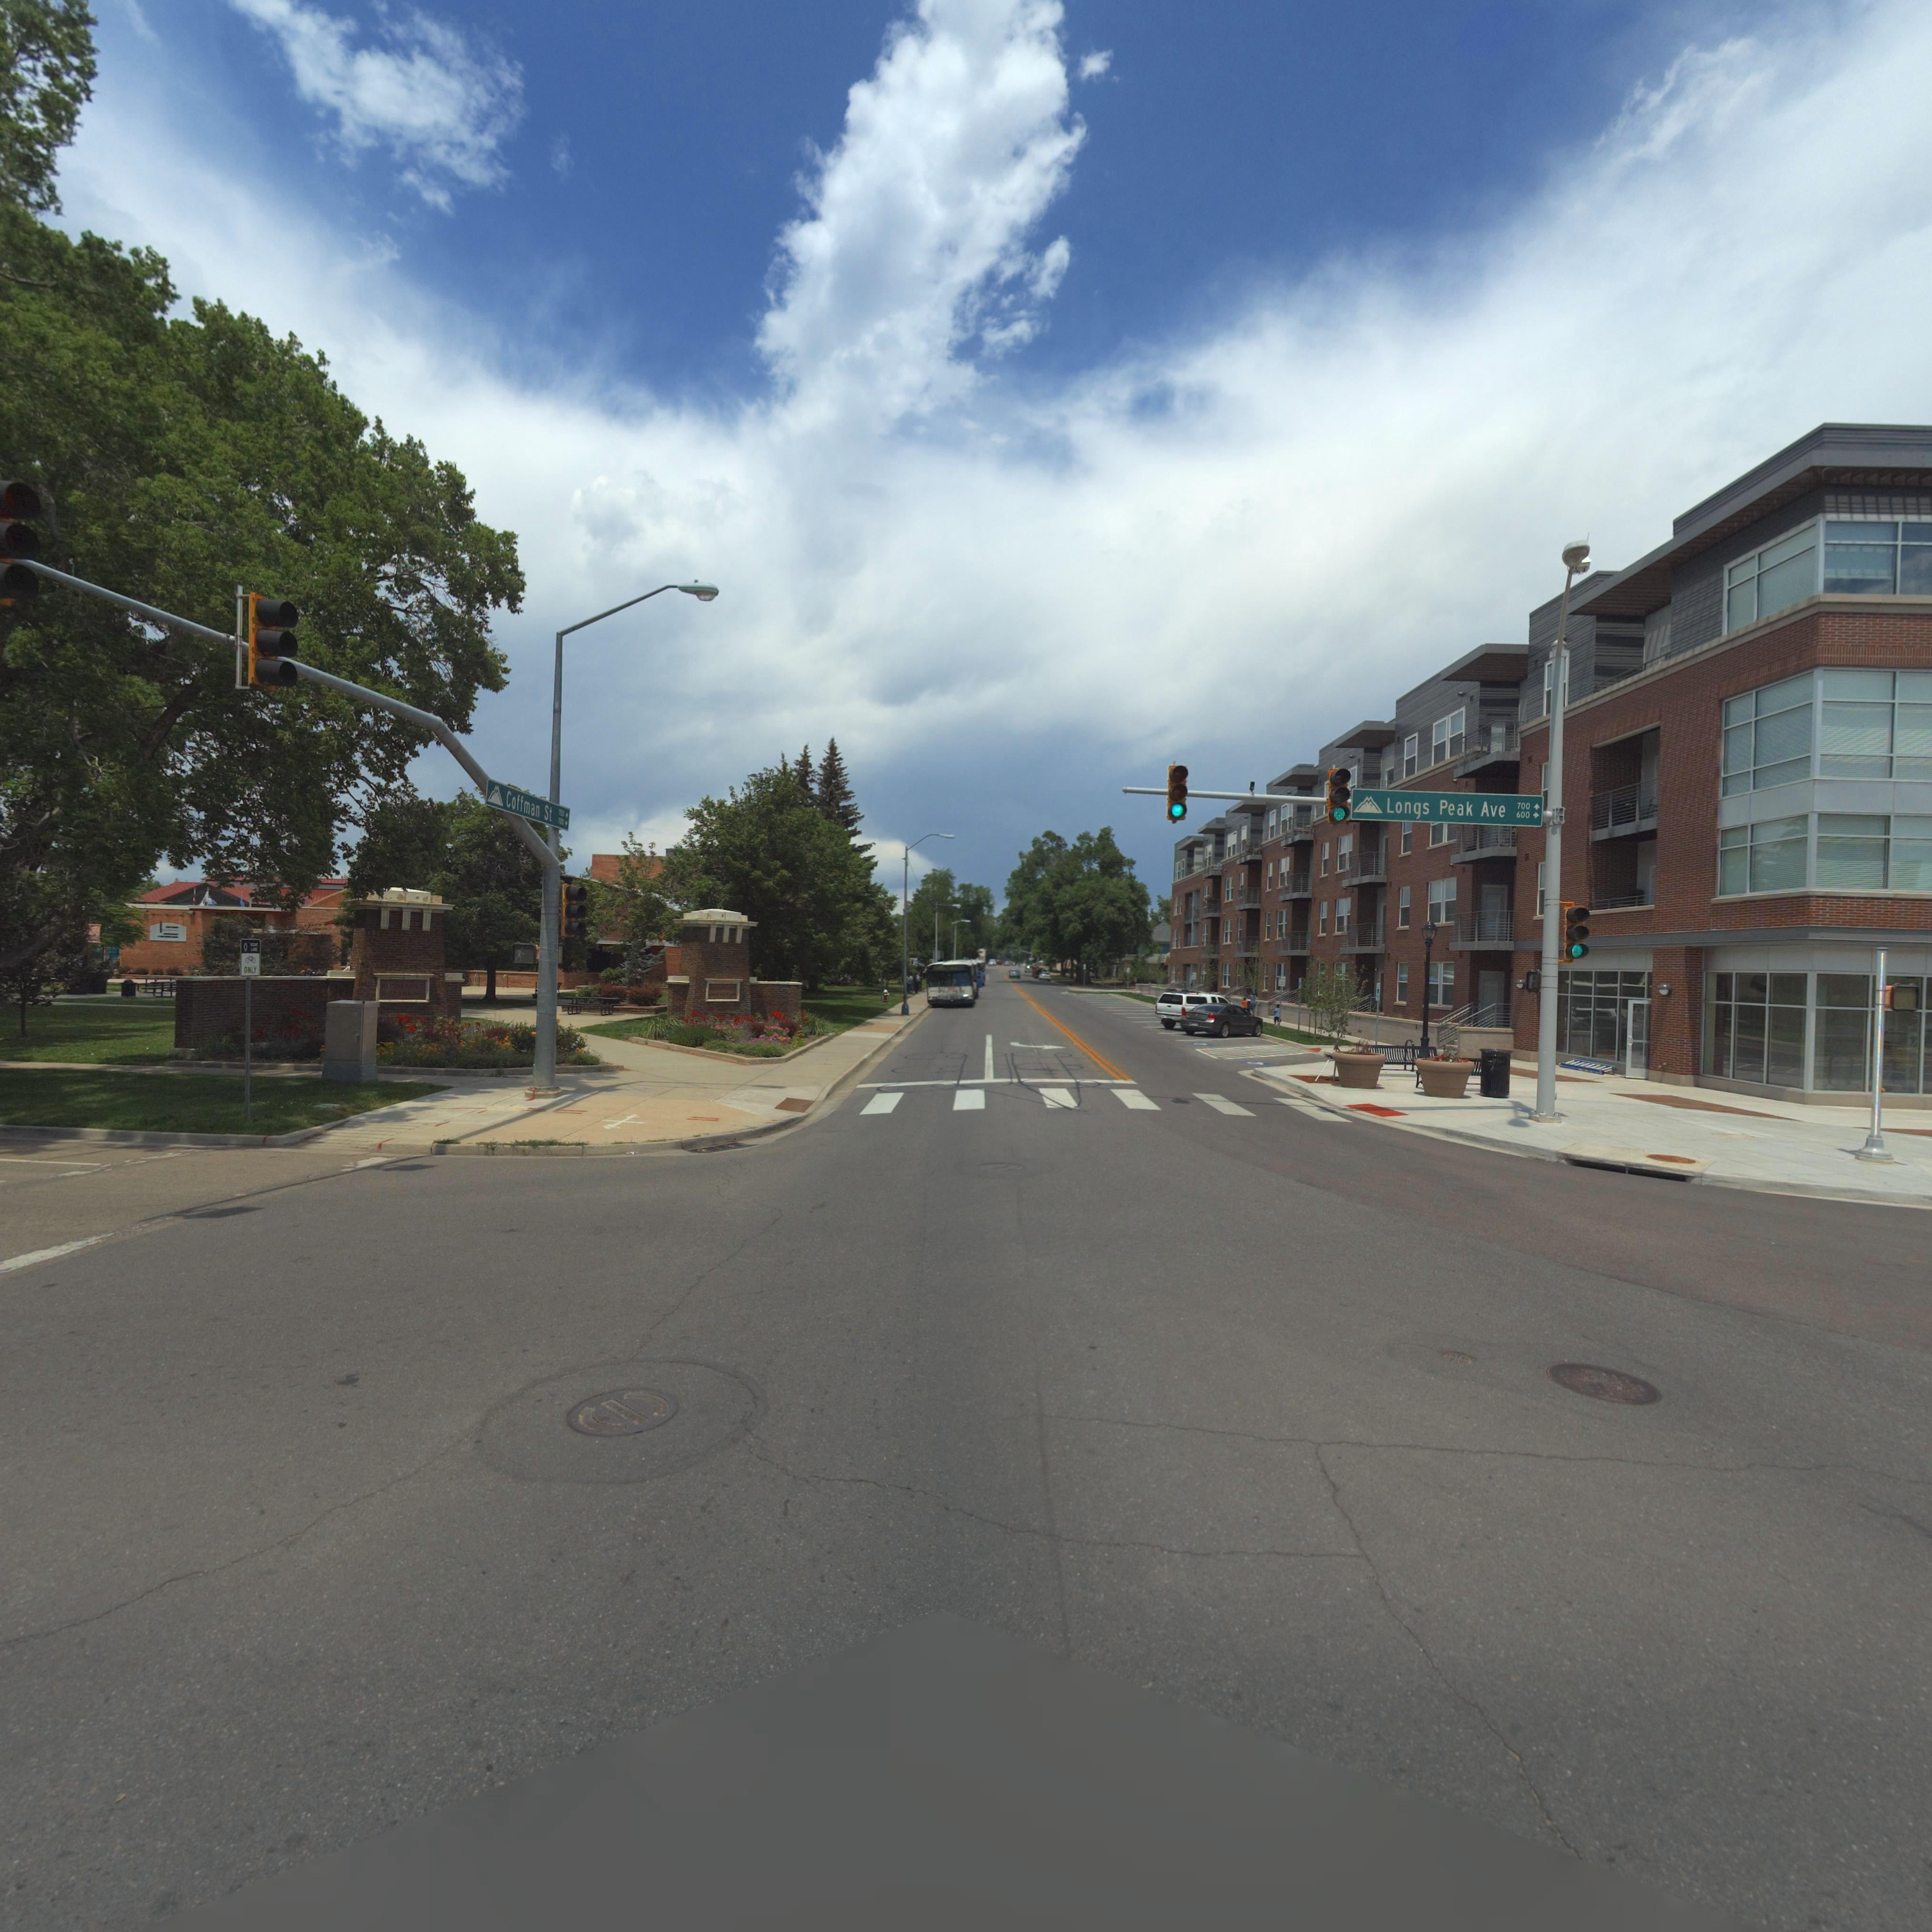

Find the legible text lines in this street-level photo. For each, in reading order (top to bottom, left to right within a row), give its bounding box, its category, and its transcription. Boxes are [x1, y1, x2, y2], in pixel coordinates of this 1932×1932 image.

[505, 789, 553, 822] StreetName: Coffman St
[558, 809, 565, 817] StreetNumberRange: 700
[1385, 796, 1506, 820] StreetName: Longs Peak Ave
[1517, 802, 1530, 810] StreetNumberRange: 700
[1515, 811, 1539, 819] StreetNumberRange: 600 ->
[557, 817, 568, 826] StreetNumberRange: 700 ->